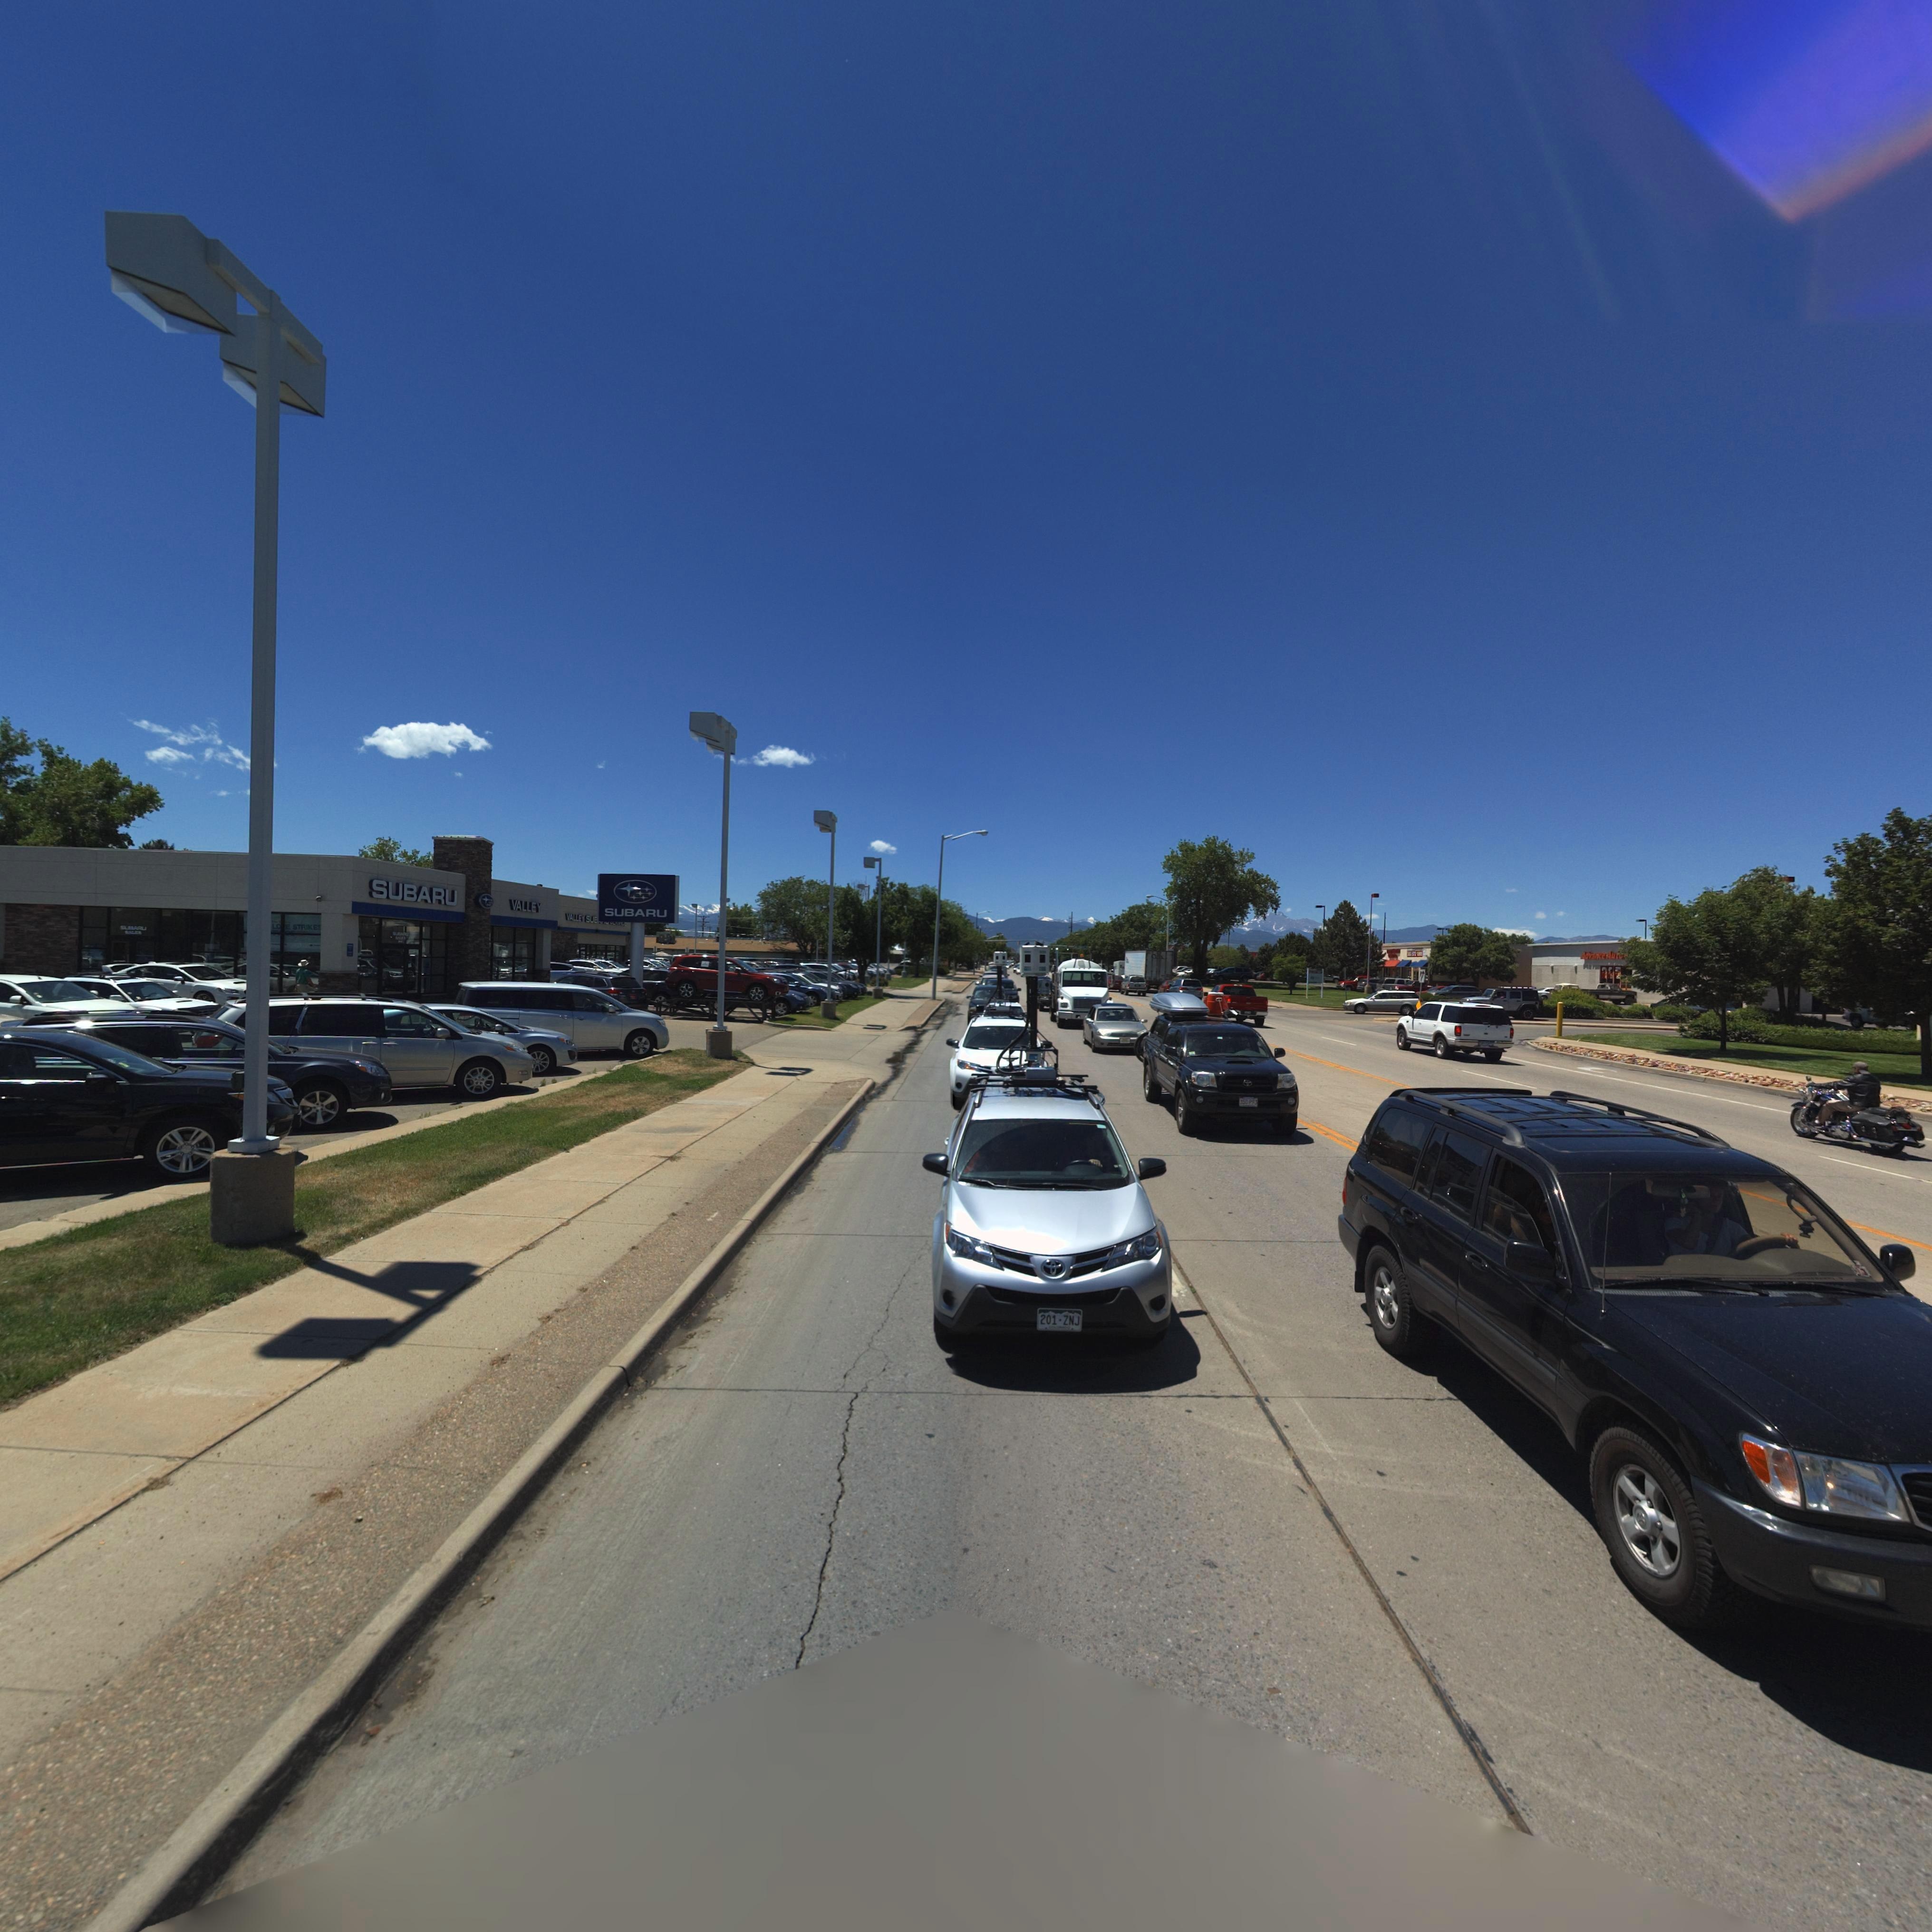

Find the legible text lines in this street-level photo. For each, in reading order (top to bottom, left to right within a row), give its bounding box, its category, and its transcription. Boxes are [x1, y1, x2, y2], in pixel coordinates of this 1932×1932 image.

[371, 879, 457, 907] BusinessName: SUBARU
[511, 899, 542, 913] BusinessName: VALLEY
[604, 908, 667, 918] BusinessName: SUBARU
[119, 925, 147, 930] BusinessName: *U**ARU
[1580, 950, 1624, 959] BusinessName: AdvanceAut*